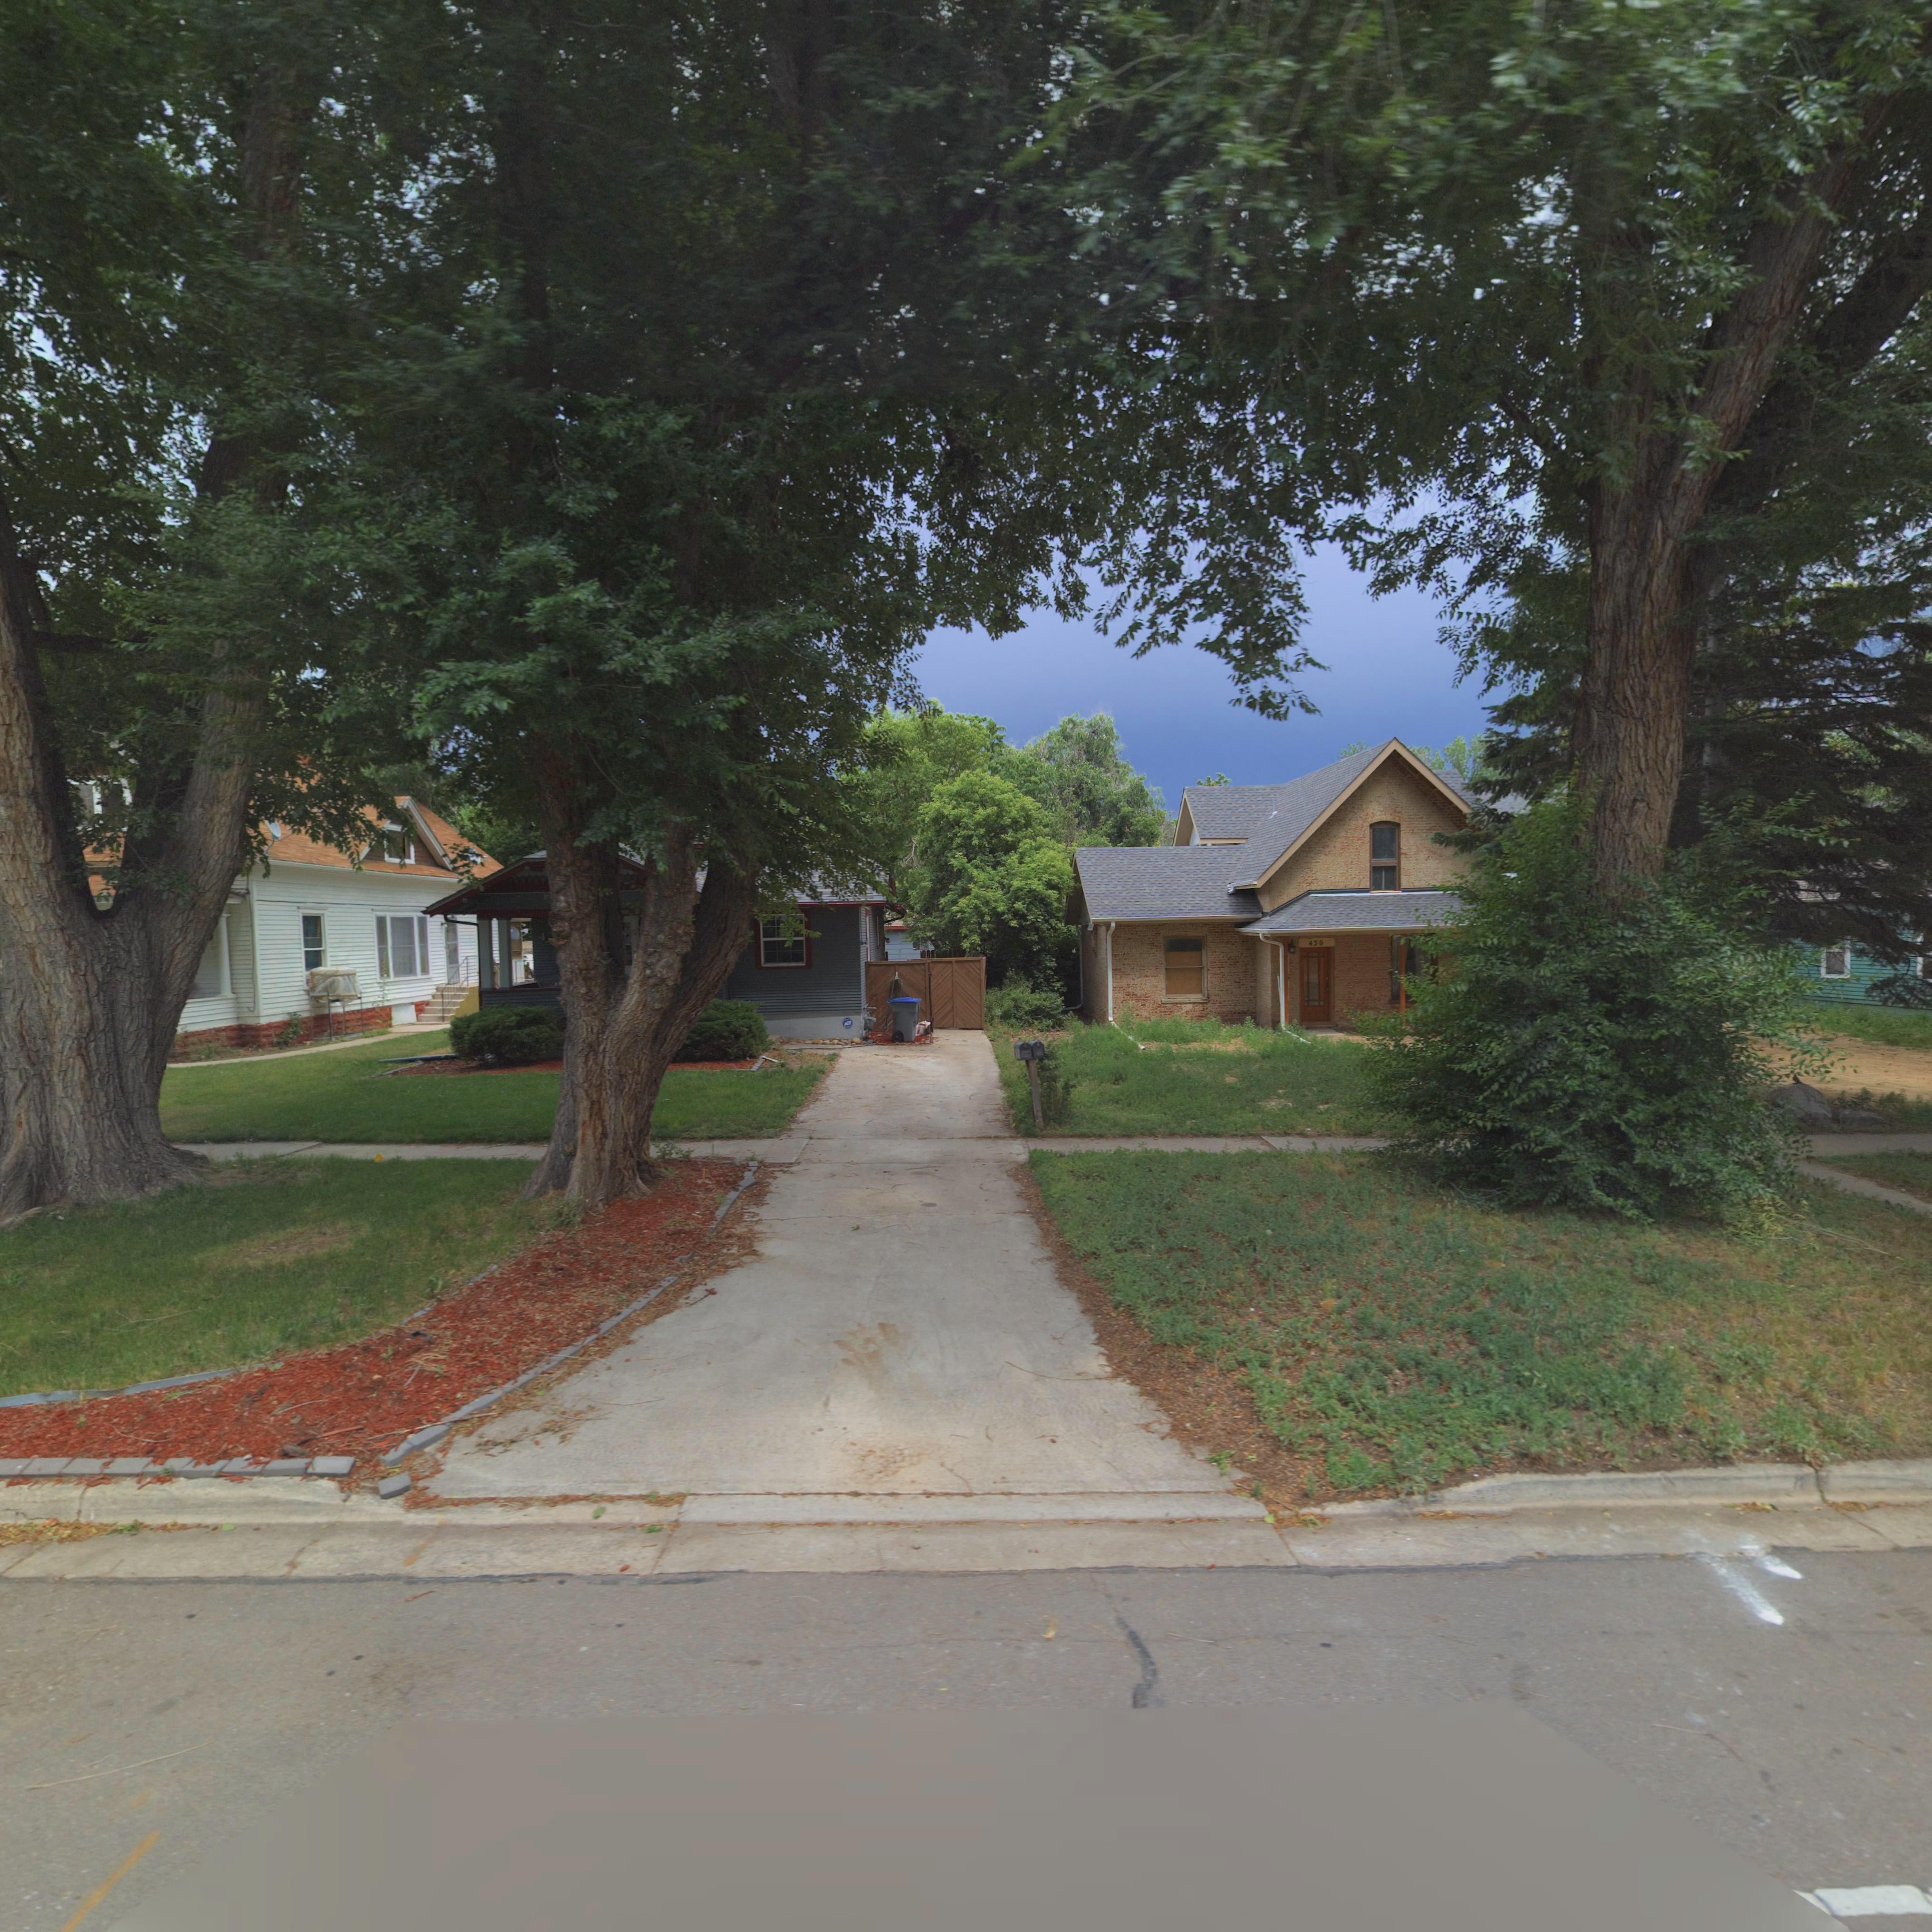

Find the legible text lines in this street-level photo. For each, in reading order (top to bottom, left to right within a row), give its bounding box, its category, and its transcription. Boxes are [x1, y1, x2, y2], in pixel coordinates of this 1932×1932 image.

[1309, 939, 1323, 946] StreetNumber: 430